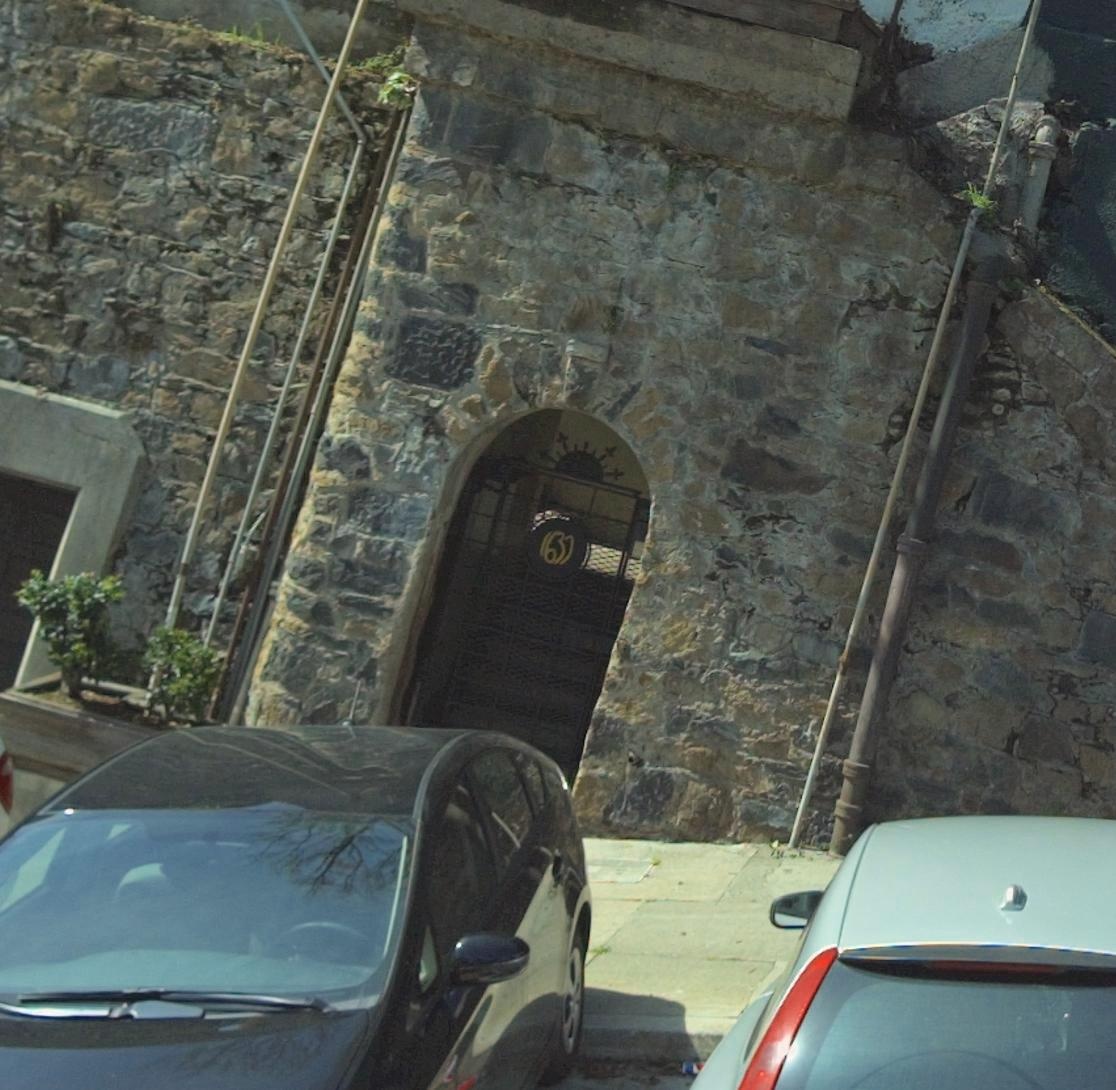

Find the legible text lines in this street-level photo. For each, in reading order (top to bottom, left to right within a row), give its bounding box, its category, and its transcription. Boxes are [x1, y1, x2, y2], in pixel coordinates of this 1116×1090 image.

[536, 528, 578, 567] StreetNumber: 1637